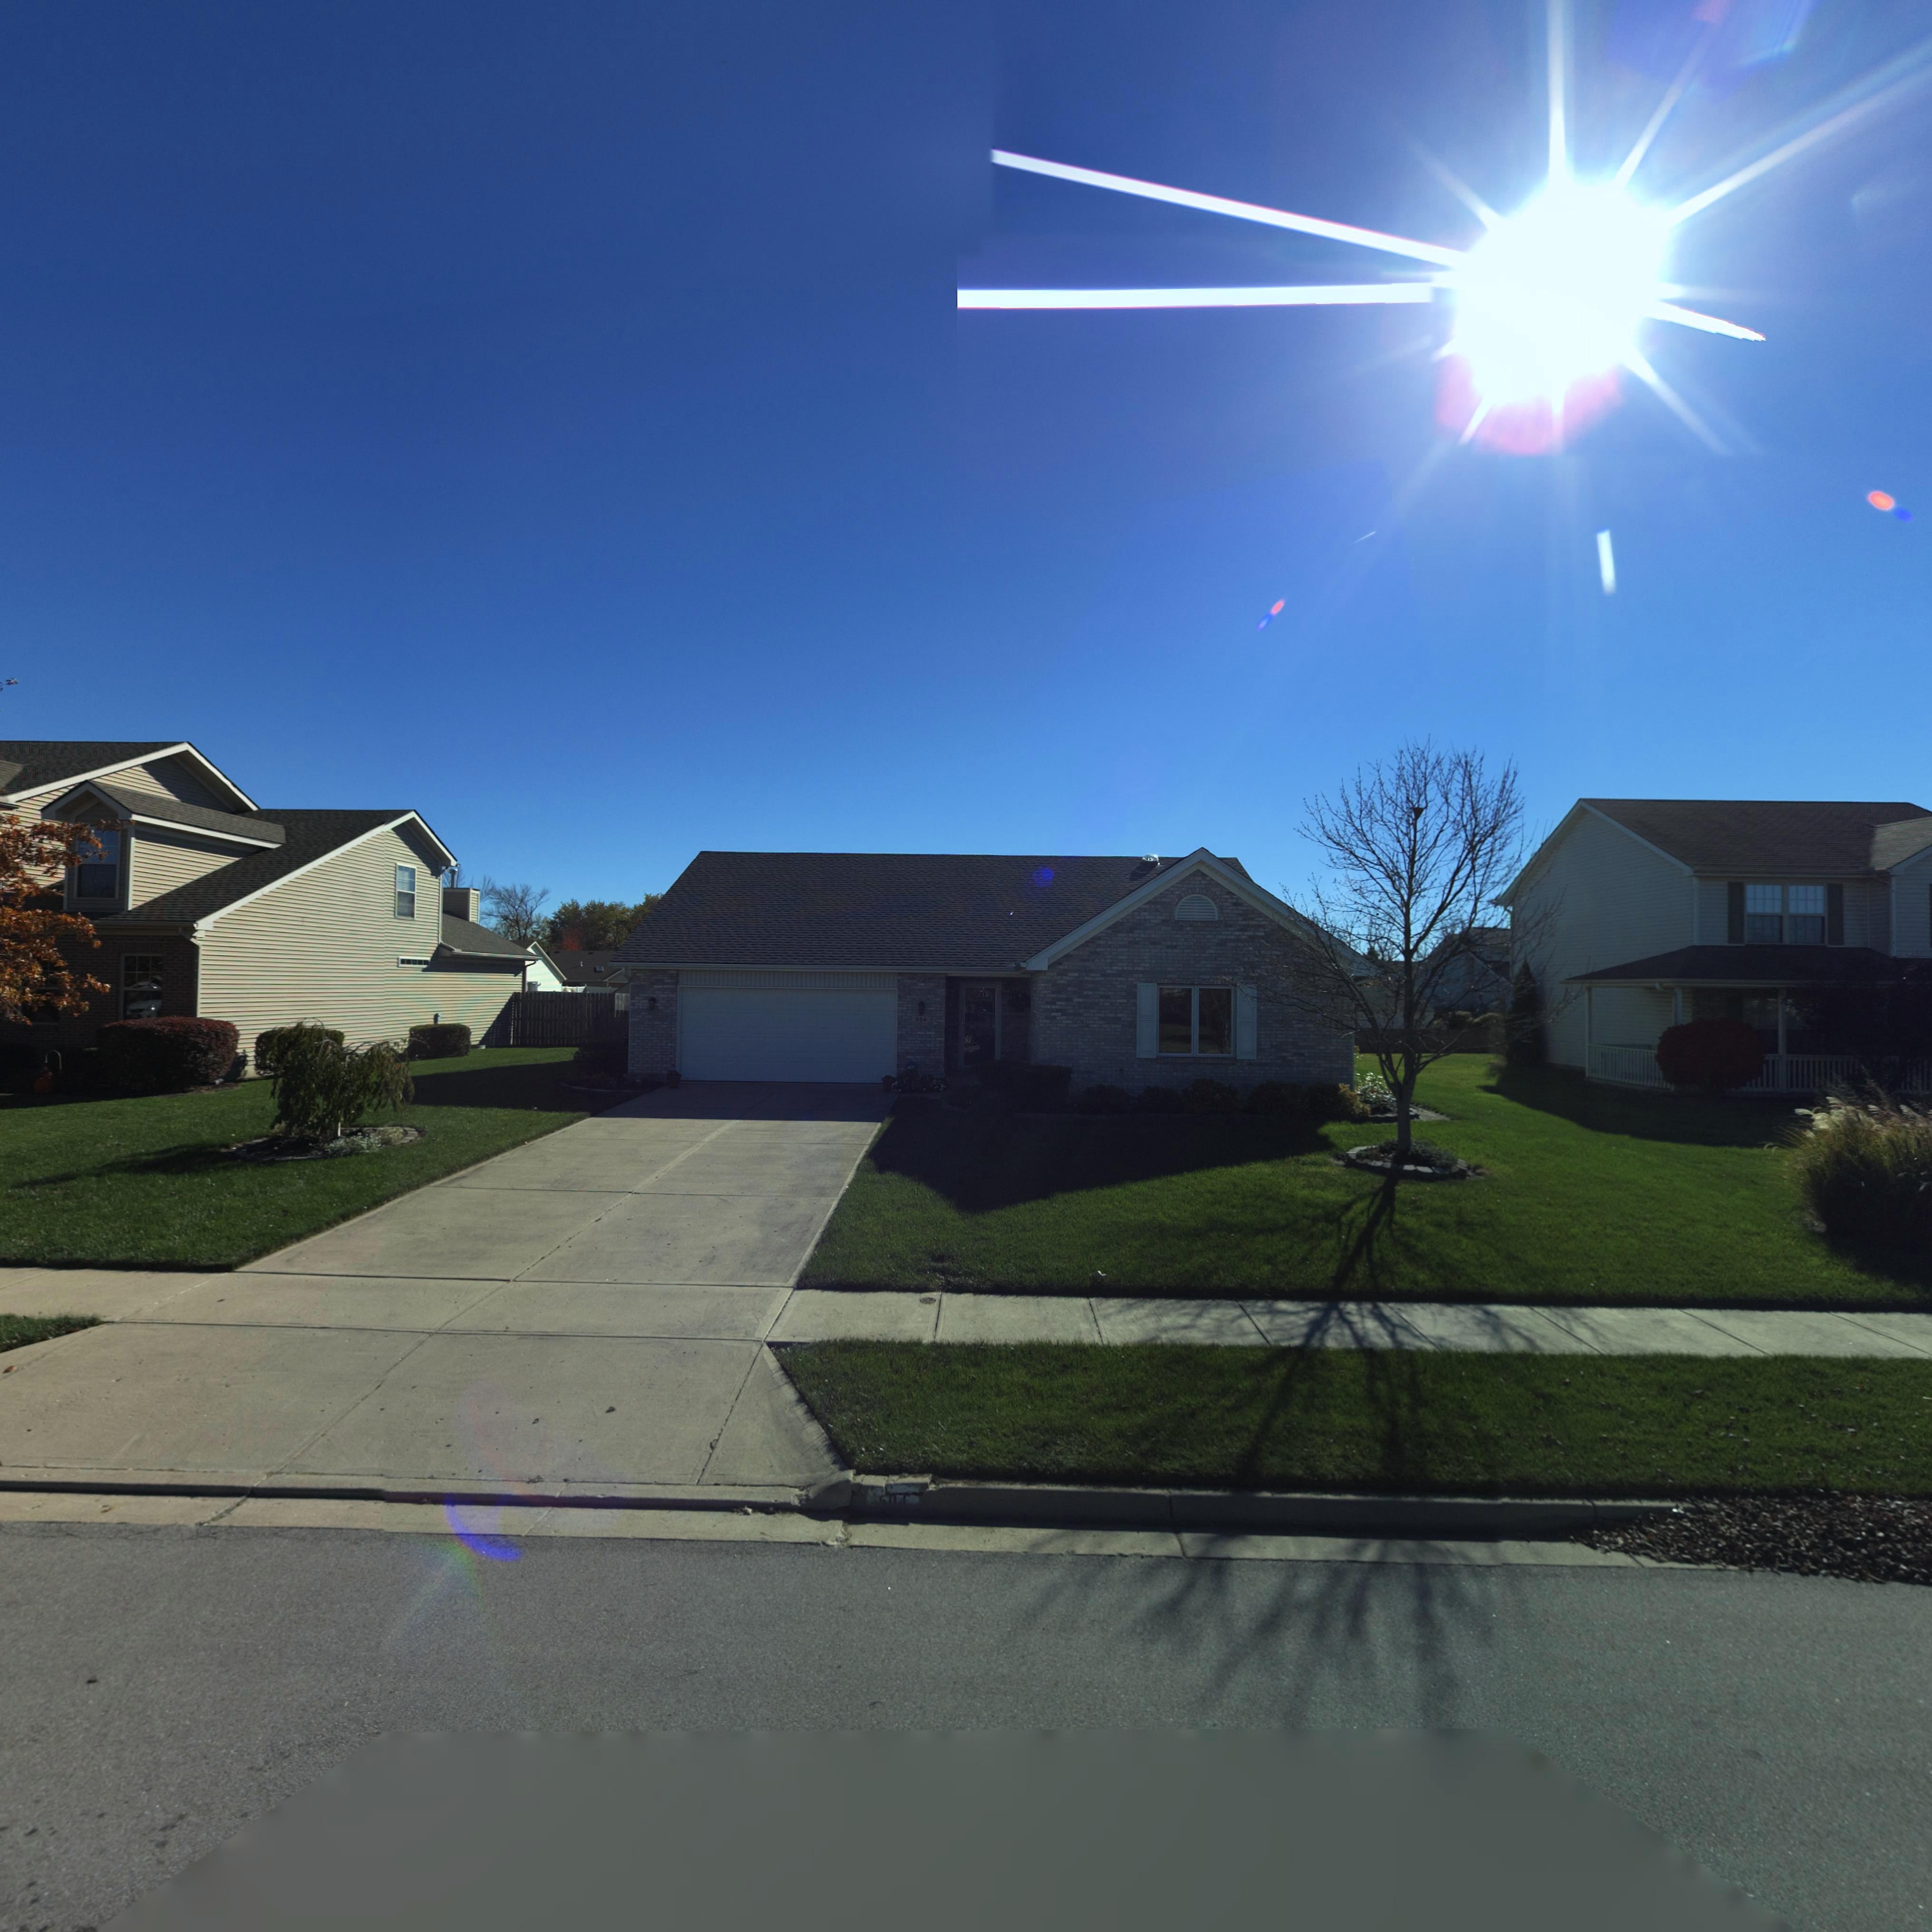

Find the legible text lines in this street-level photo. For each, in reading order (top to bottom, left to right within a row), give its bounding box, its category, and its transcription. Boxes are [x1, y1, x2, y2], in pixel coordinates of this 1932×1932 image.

[915, 1016, 927, 1023] StreetNumber: 504